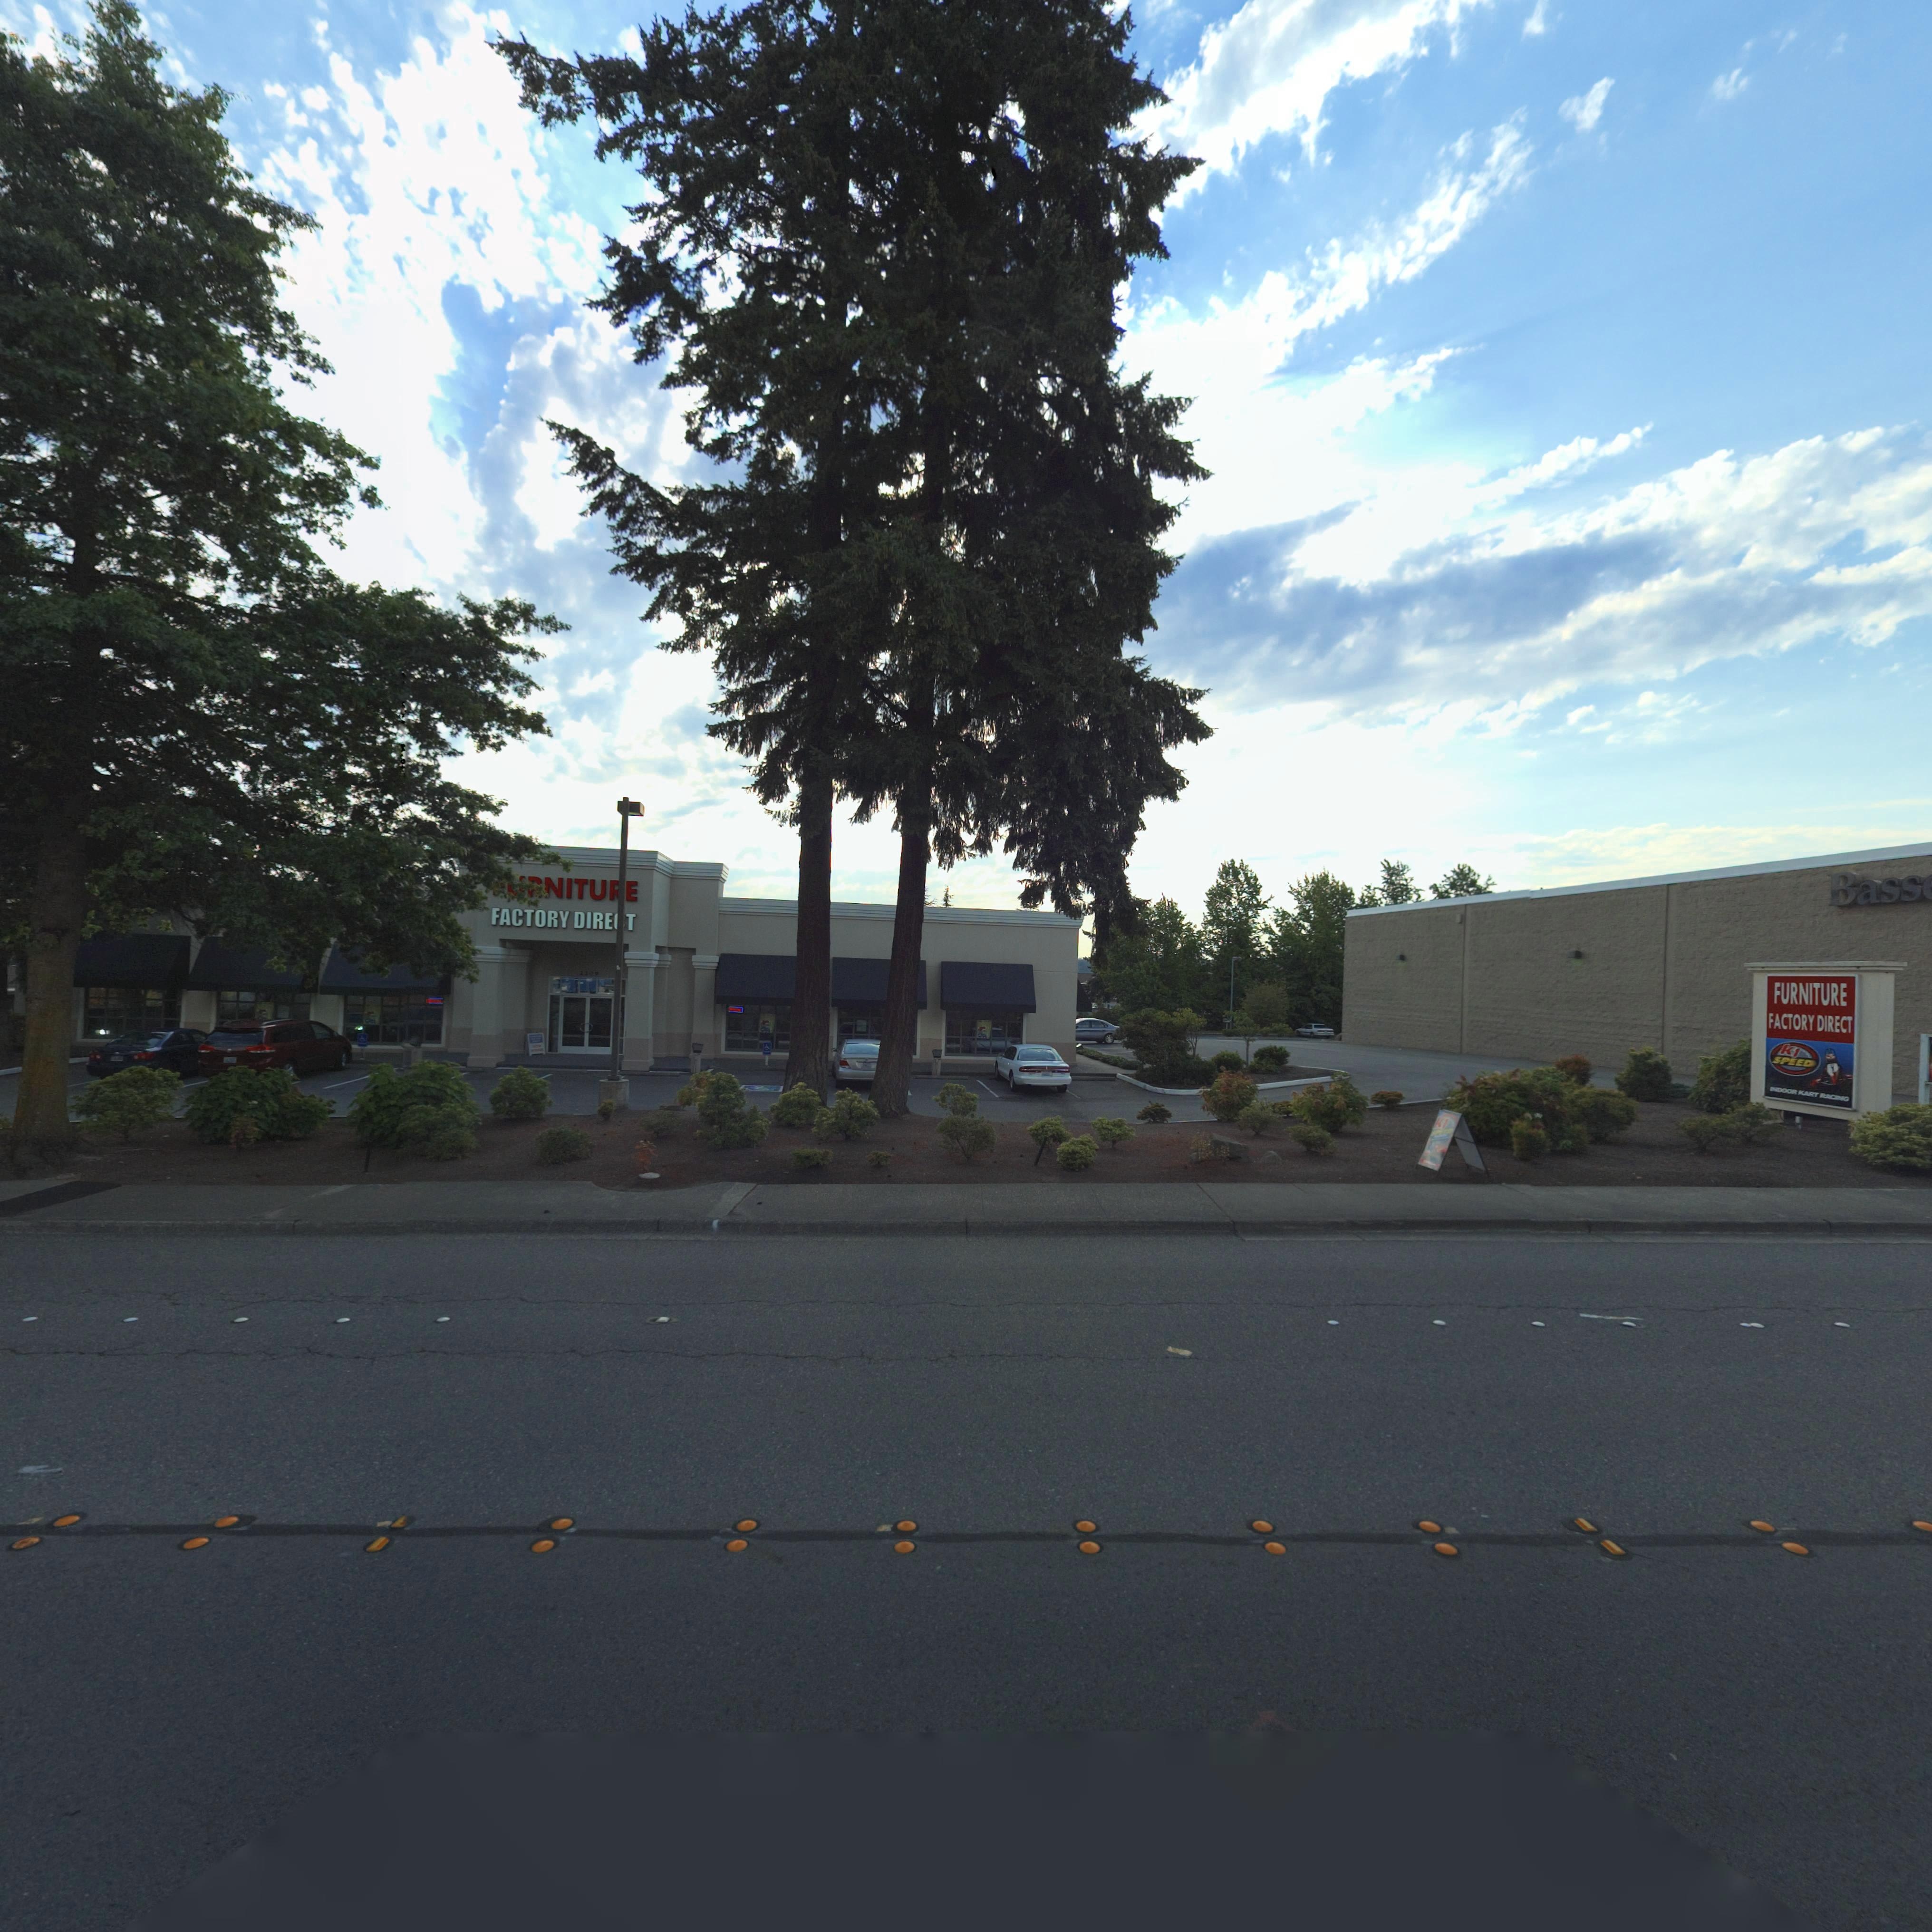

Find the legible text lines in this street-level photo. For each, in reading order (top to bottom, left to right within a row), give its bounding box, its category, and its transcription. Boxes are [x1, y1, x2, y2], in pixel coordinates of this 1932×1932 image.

[507, 875, 638, 902] BusinessName: NITURE
[1827, 872, 1928, 908] BusinessName: Bass*
[491, 906, 637, 931] BusinessName: FACTORY DIRE*T
[578, 970, 599, 976] StreetNumber: 2*09
[1773, 981, 1848, 1007] BusinessName: FURNITURE
[1768, 1012, 1854, 1036] BusinessName: FACTORY DIRECT
[1778, 1042, 1801, 1058] BusinessName: K1
[1771, 1054, 1816, 1068] BusinessName: DIRECT
[1769, 1086, 1850, 1103] BusinessName: *NDOOR KART RAXING